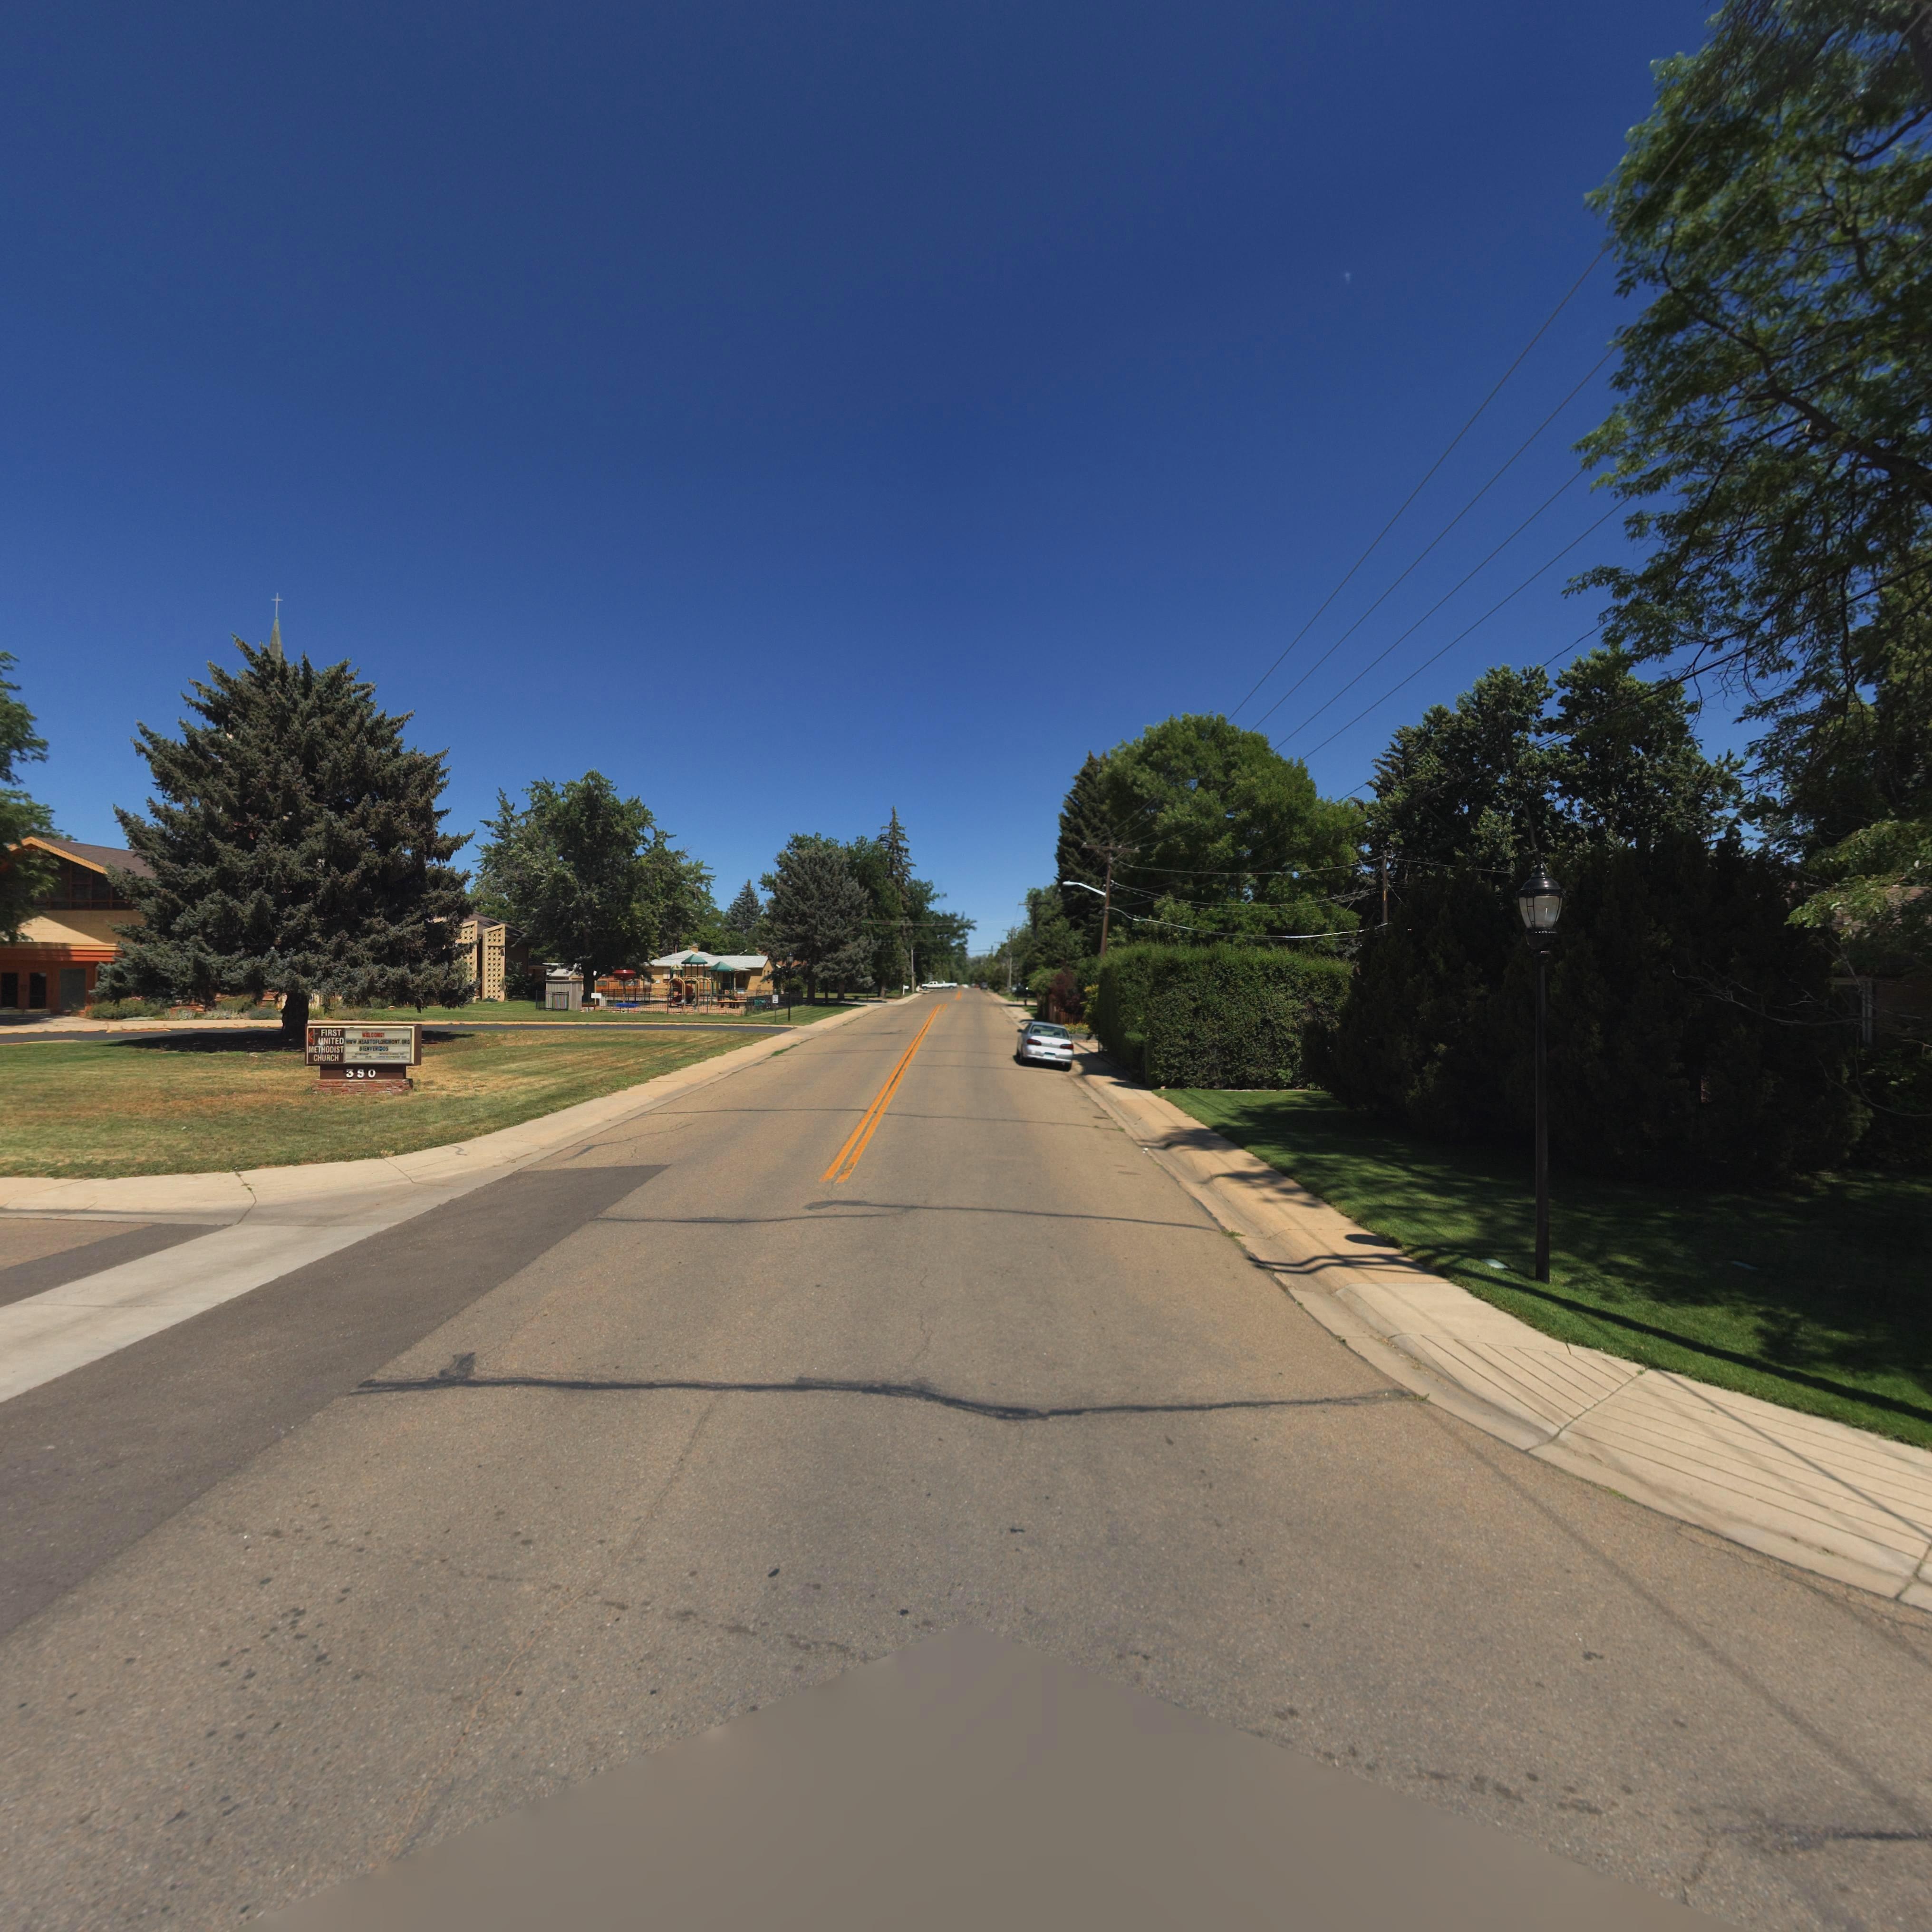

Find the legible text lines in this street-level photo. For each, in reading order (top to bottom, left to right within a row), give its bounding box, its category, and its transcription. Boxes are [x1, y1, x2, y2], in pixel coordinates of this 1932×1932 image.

[320, 1028, 342, 1036] BusinessName: FIRST
[318, 1037, 344, 1044] BusinessName: UNITED
[308, 1045, 344, 1053] BusinessName: METHODIST
[313, 1053, 339, 1062] BusinessName: CHURCH
[346, 1068, 376, 1078] StreetNumber: 350